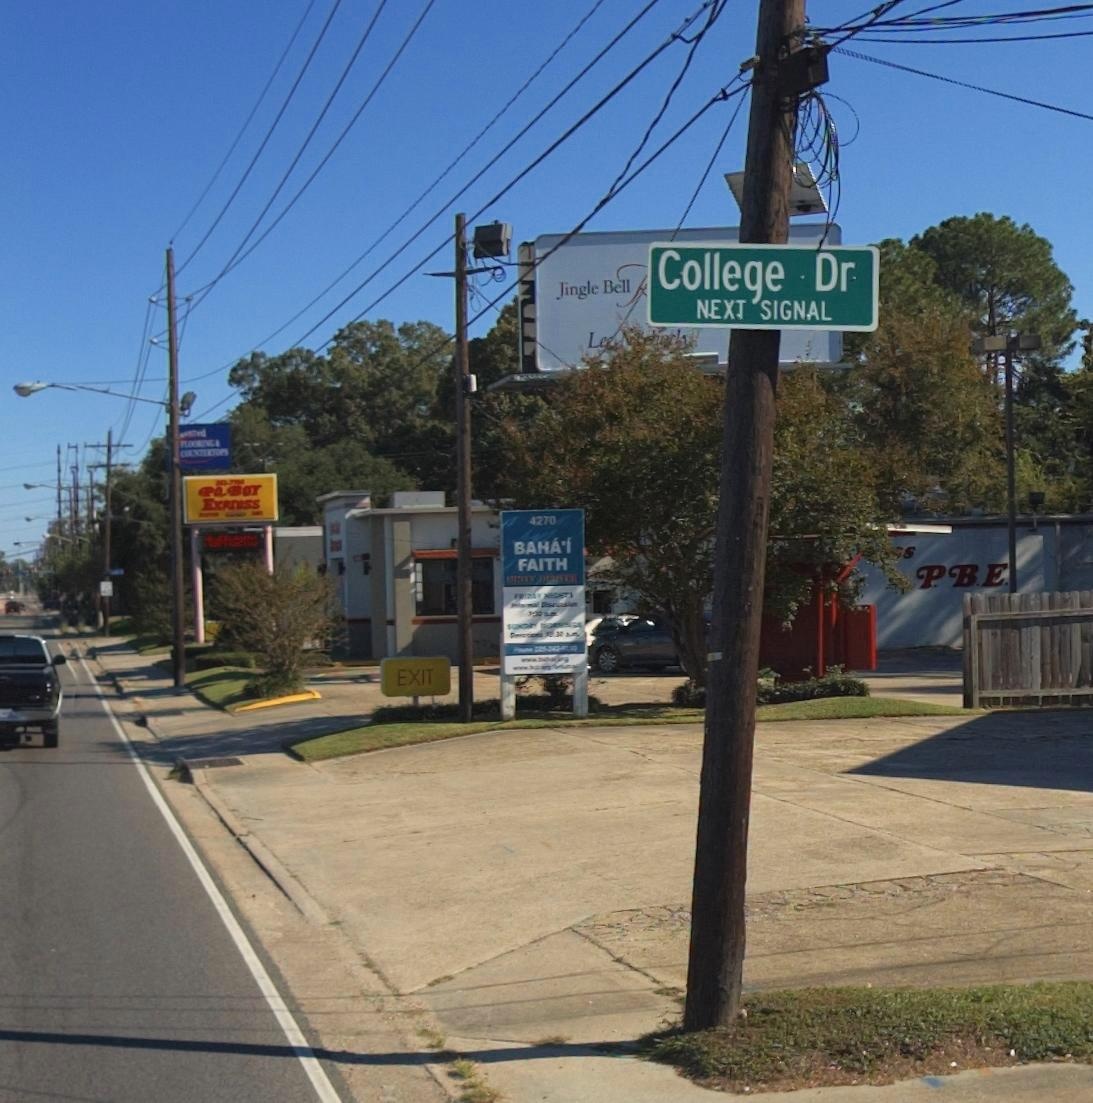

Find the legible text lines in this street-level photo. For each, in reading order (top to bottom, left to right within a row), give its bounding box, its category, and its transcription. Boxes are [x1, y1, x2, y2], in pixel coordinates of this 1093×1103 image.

[657, 249, 857, 305] StreetName: College Dr
[555, 277, 632, 302] None: Jingle Bell
[696, 298, 834, 322] None: NEXT SIGNAL
[587, 330, 617, 350] None: Lee
[197, 484, 263, 499] BusinessName: PO BOY
[200, 497, 262, 512] BusinessName: EXPRESS
[527, 514, 559, 527] StreetNumber: 4270
[512, 538, 564, 558] BusinessName: BAHA
[902, 545, 917, 560] None: s
[516, 556, 569, 573] BusinessName: FAITH
[916, 562, 1009, 590] None: P.B.E.
[396, 667, 435, 687] None: EXIT